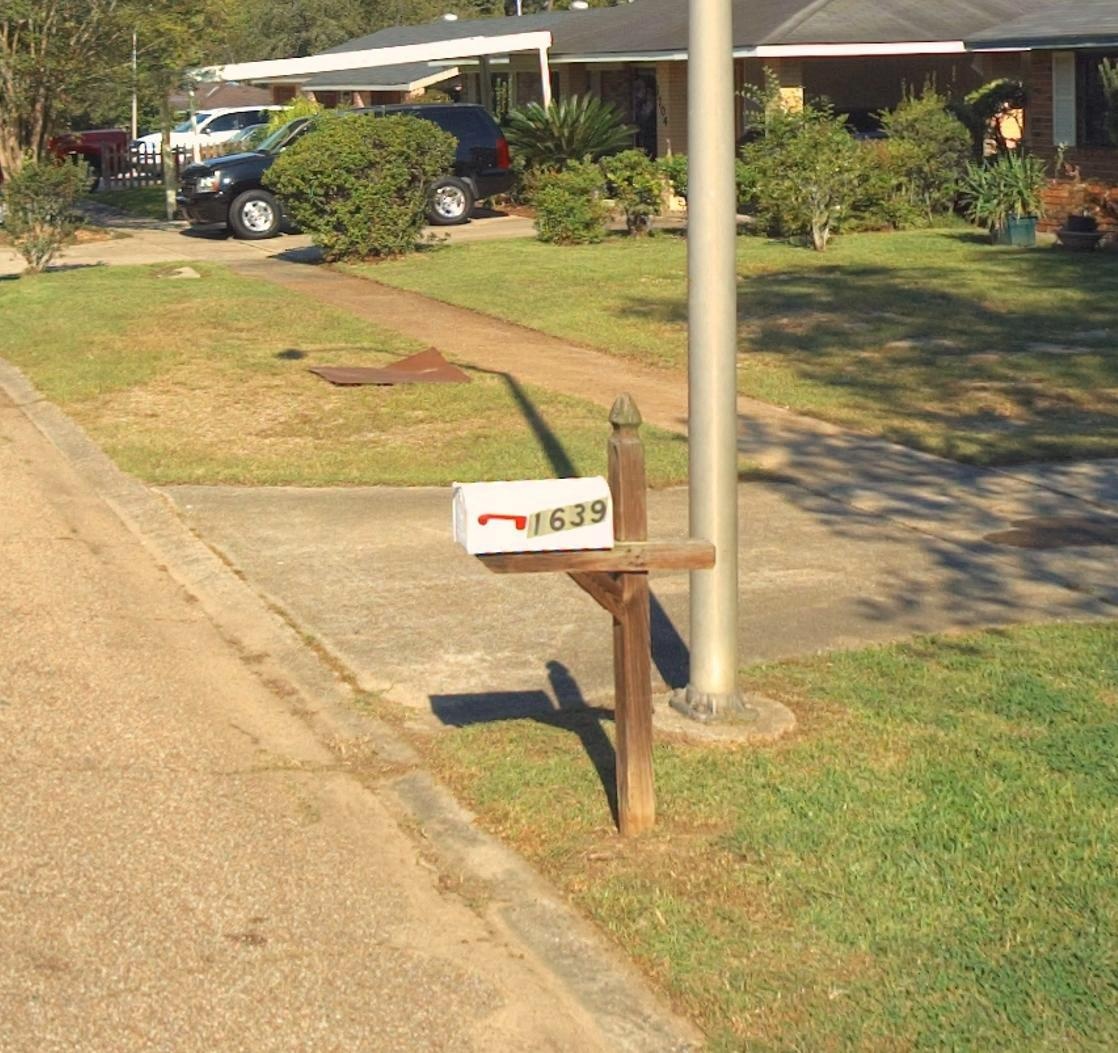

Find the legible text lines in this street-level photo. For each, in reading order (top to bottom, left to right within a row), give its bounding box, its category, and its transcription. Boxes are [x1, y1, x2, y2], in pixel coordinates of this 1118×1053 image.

[533, 498, 607, 536] StreetNumber: 1639